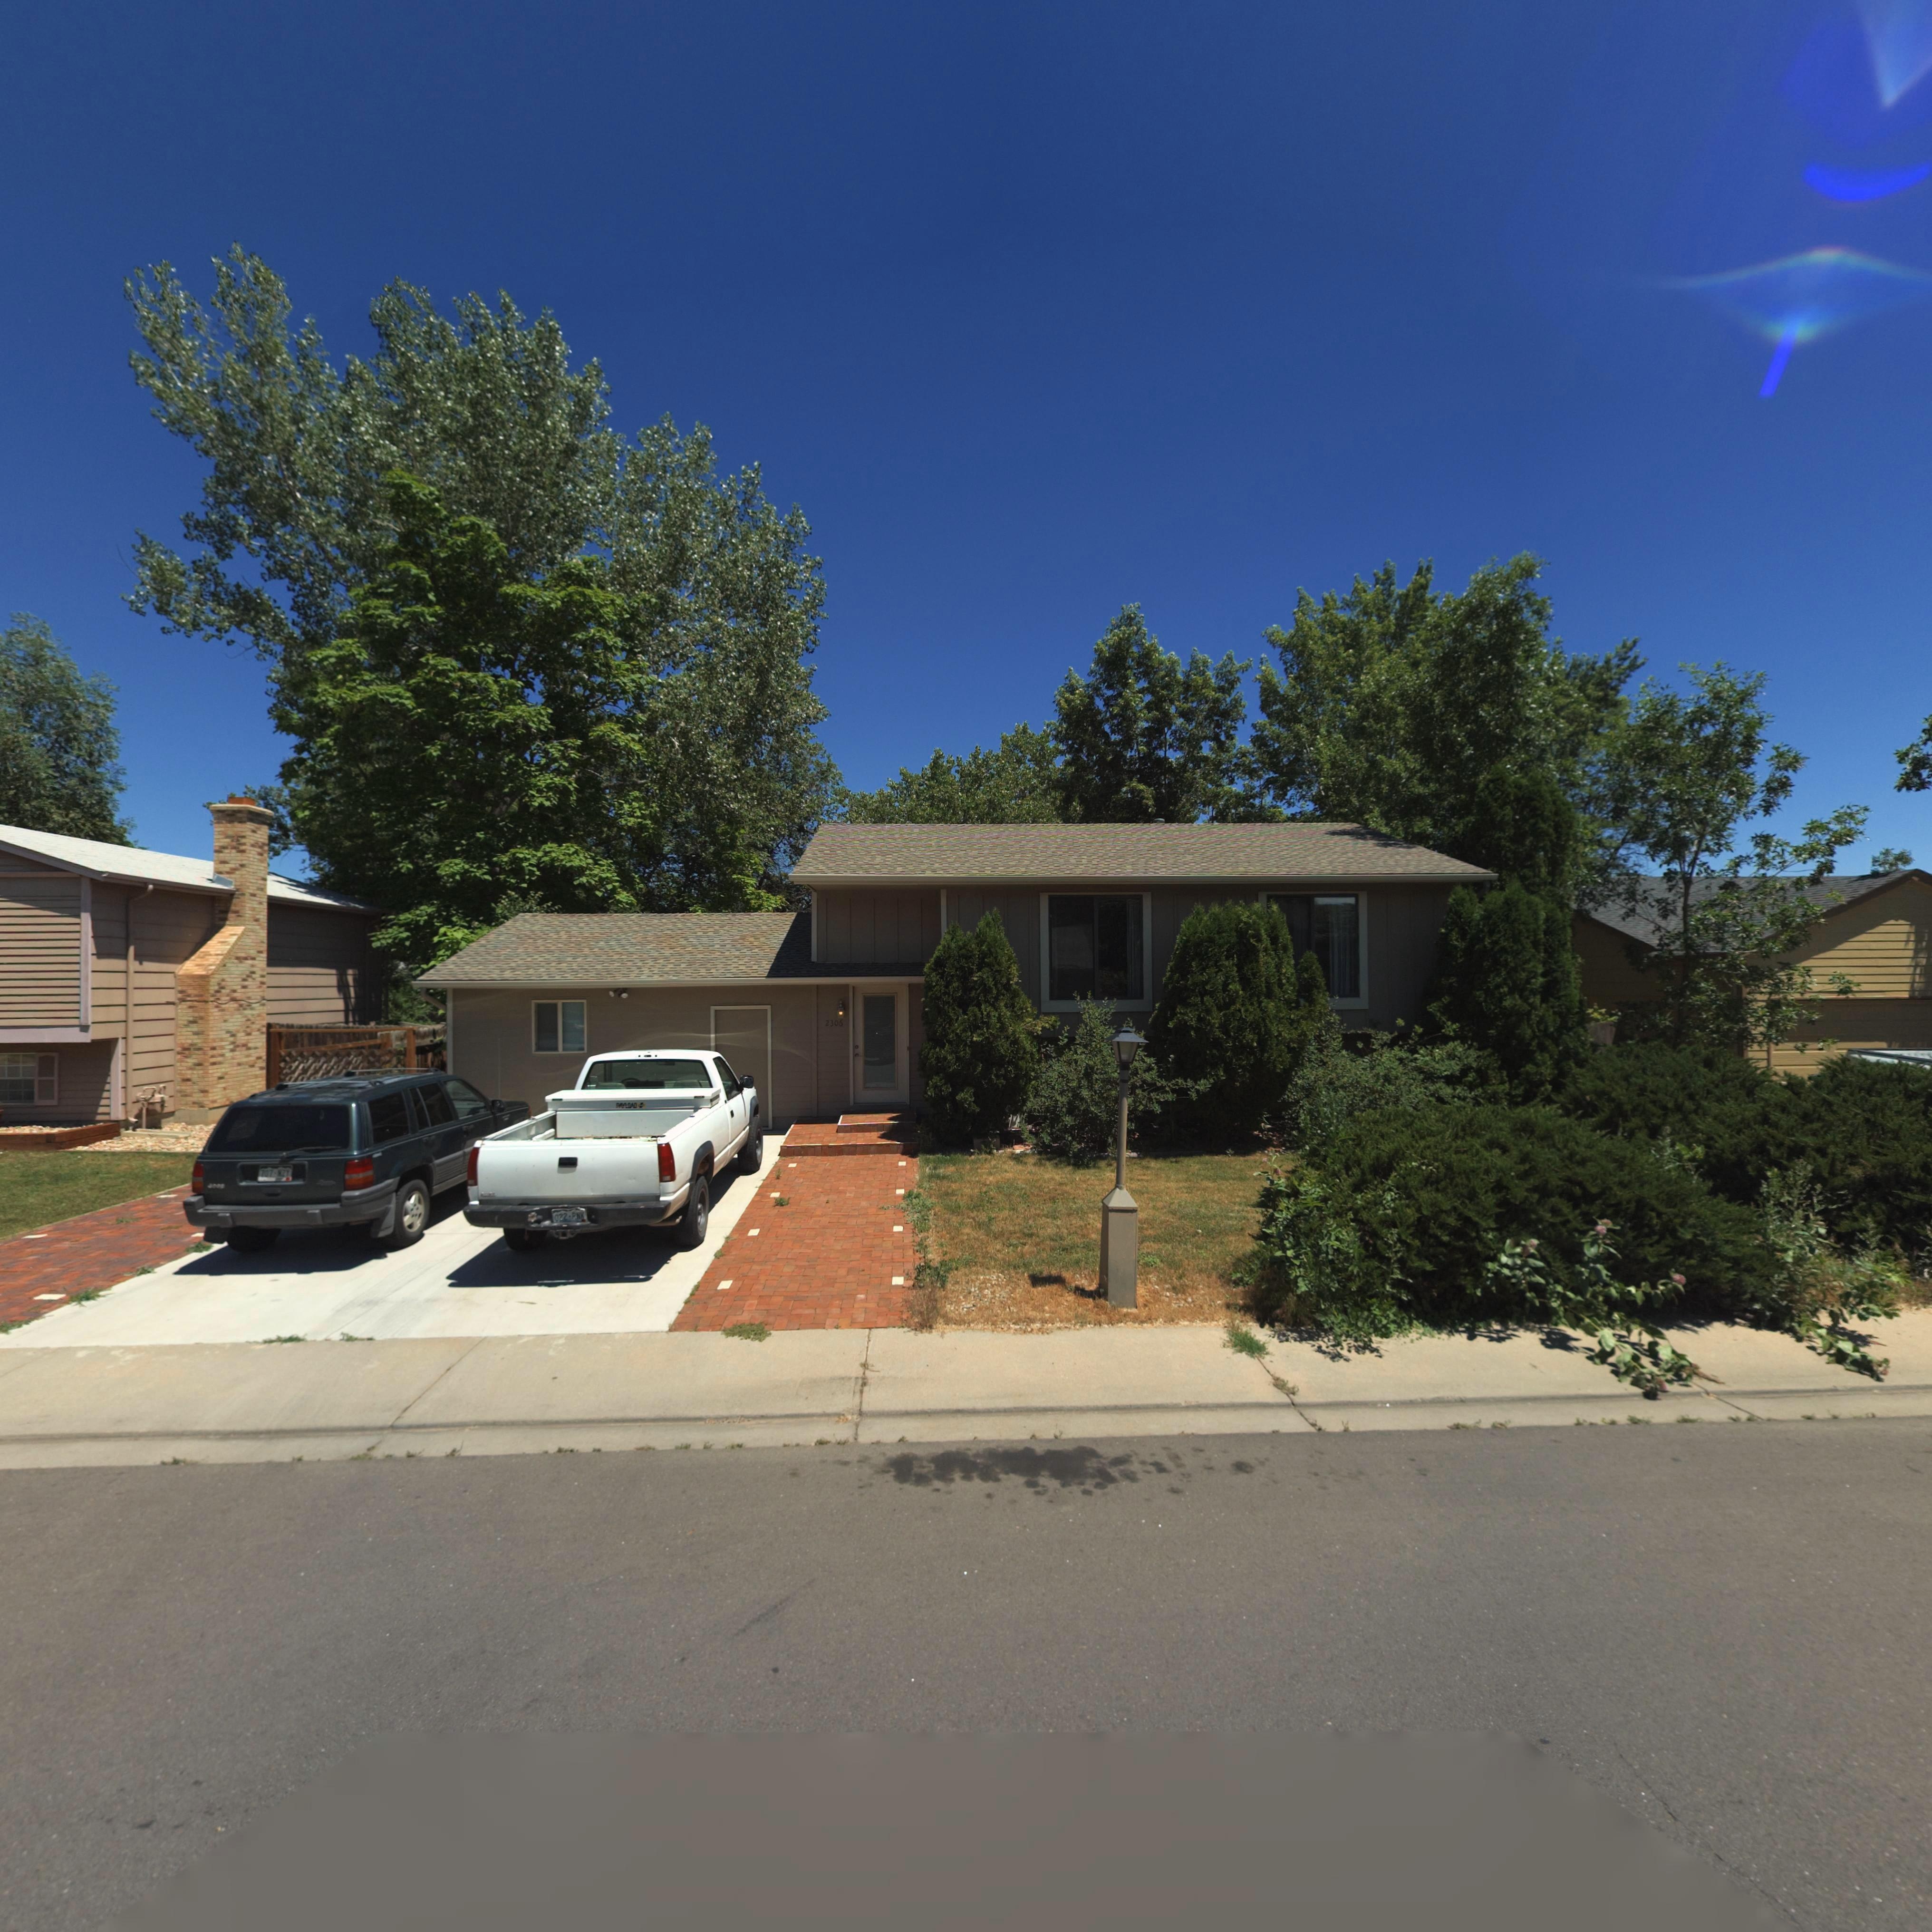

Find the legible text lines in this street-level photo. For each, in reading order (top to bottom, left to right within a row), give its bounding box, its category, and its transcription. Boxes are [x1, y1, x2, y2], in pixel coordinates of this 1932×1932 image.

[825, 1019, 843, 1026] StreetNumber: 2306